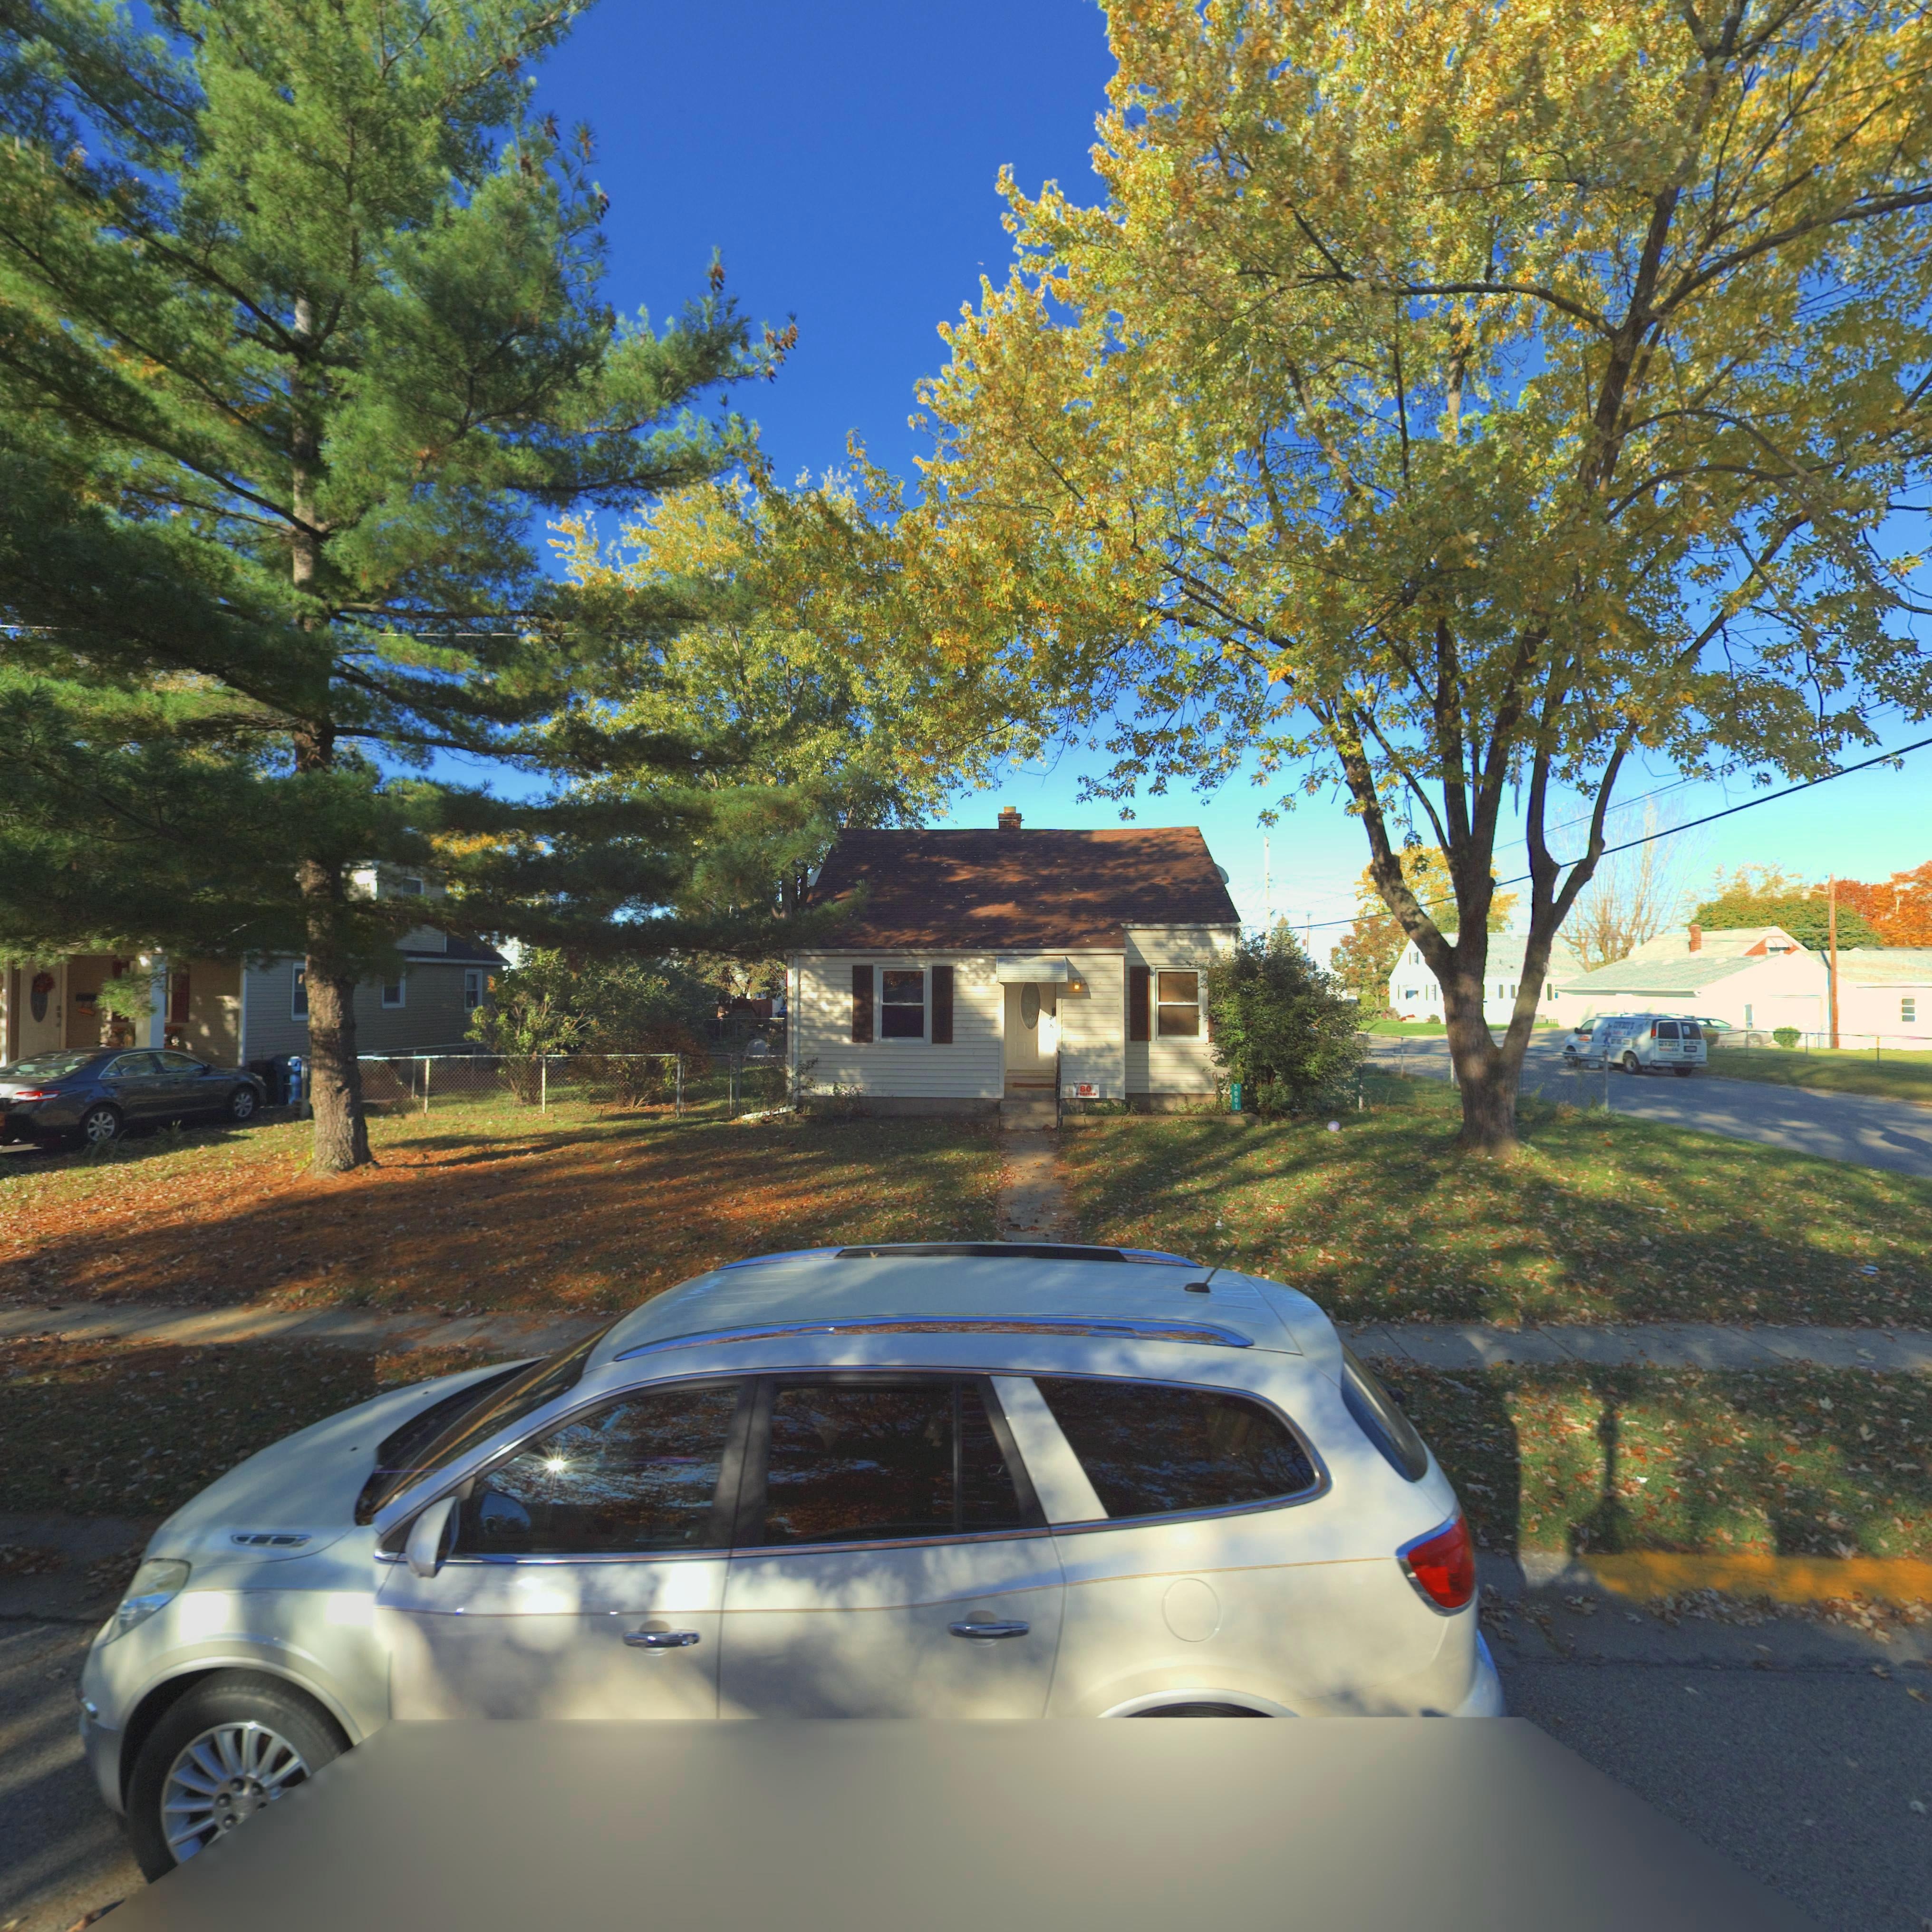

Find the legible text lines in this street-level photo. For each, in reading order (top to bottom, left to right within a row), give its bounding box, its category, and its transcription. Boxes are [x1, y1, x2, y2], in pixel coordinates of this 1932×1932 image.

[1233, 1083, 1238, 1110] StreetNumber: 5001